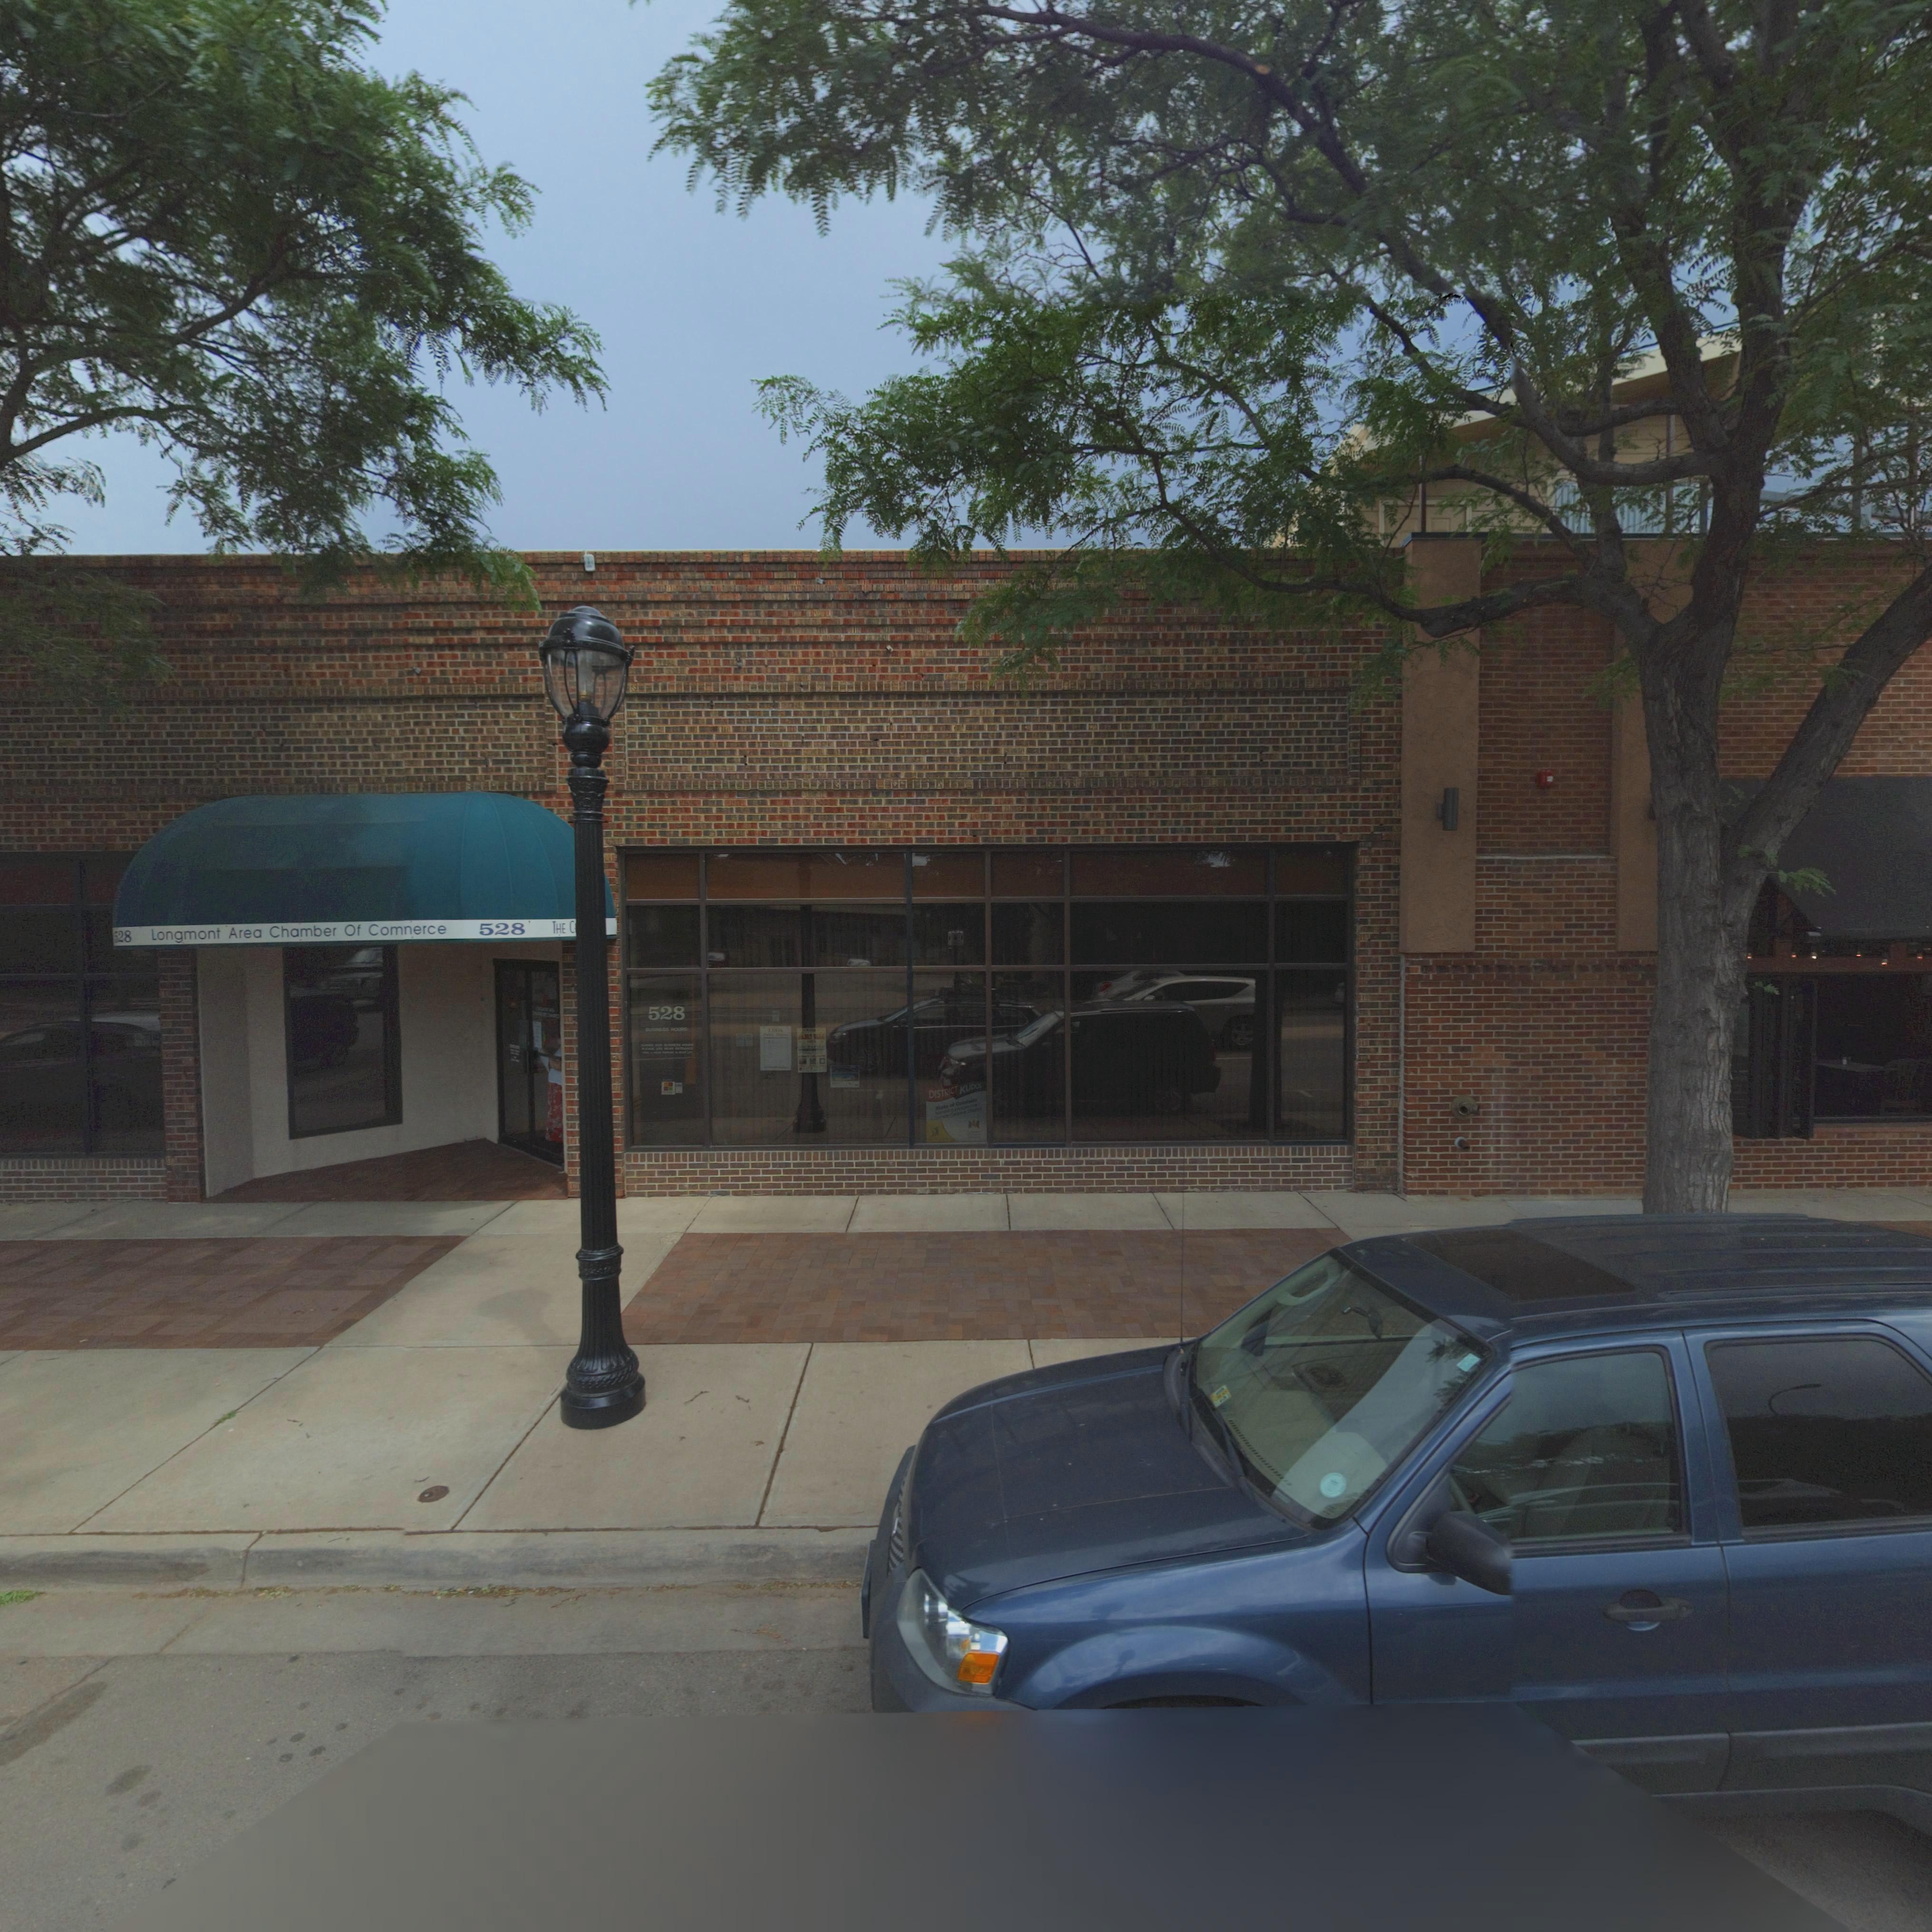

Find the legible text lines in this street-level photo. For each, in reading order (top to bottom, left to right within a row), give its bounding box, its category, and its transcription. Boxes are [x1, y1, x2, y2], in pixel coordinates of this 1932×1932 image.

[113, 928, 133, 944] StreetNumber: 528
[150, 923, 448, 944] BusinessName: Longmont Area Chamber Of Comnerce
[478, 920, 527, 936] StreetNumber: 528
[552, 920, 575, 934] BusinessName: THE C
[647, 1005, 686, 1021] StreetNumber: 528